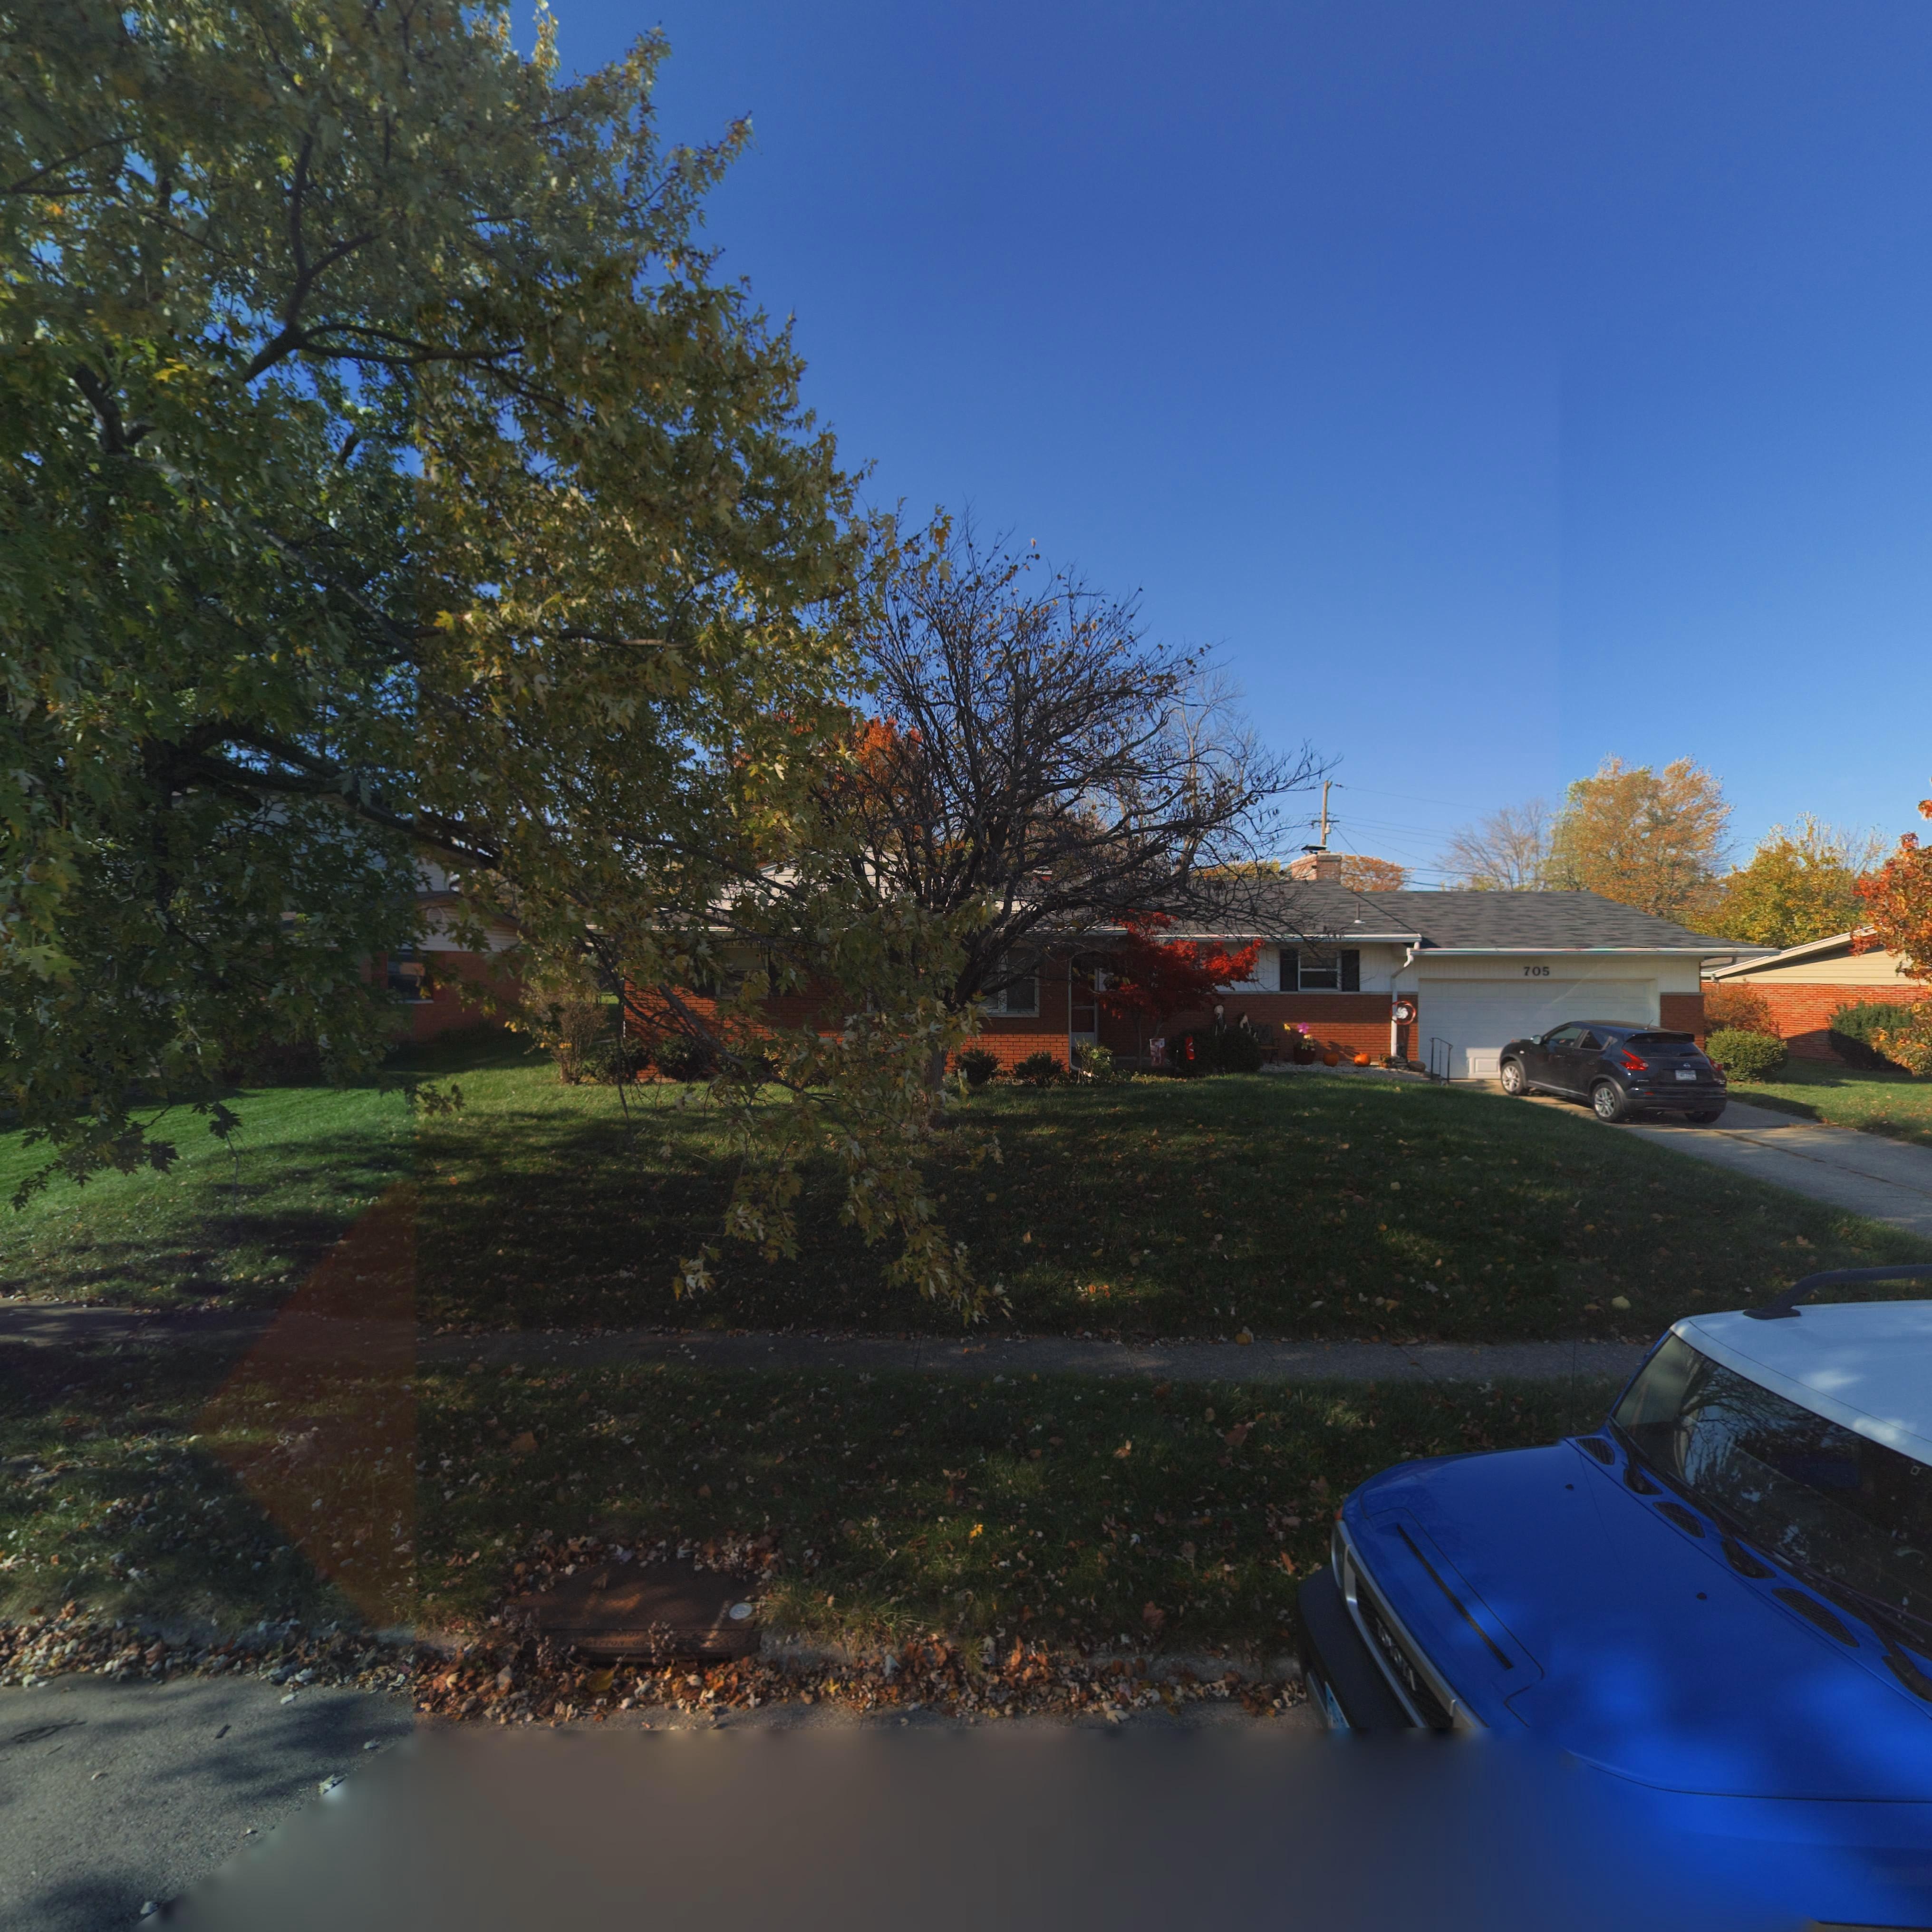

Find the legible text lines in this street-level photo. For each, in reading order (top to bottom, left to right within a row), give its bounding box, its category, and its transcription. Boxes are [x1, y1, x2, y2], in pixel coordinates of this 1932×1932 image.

[1523, 965, 1551, 977] StreetNumber: 705